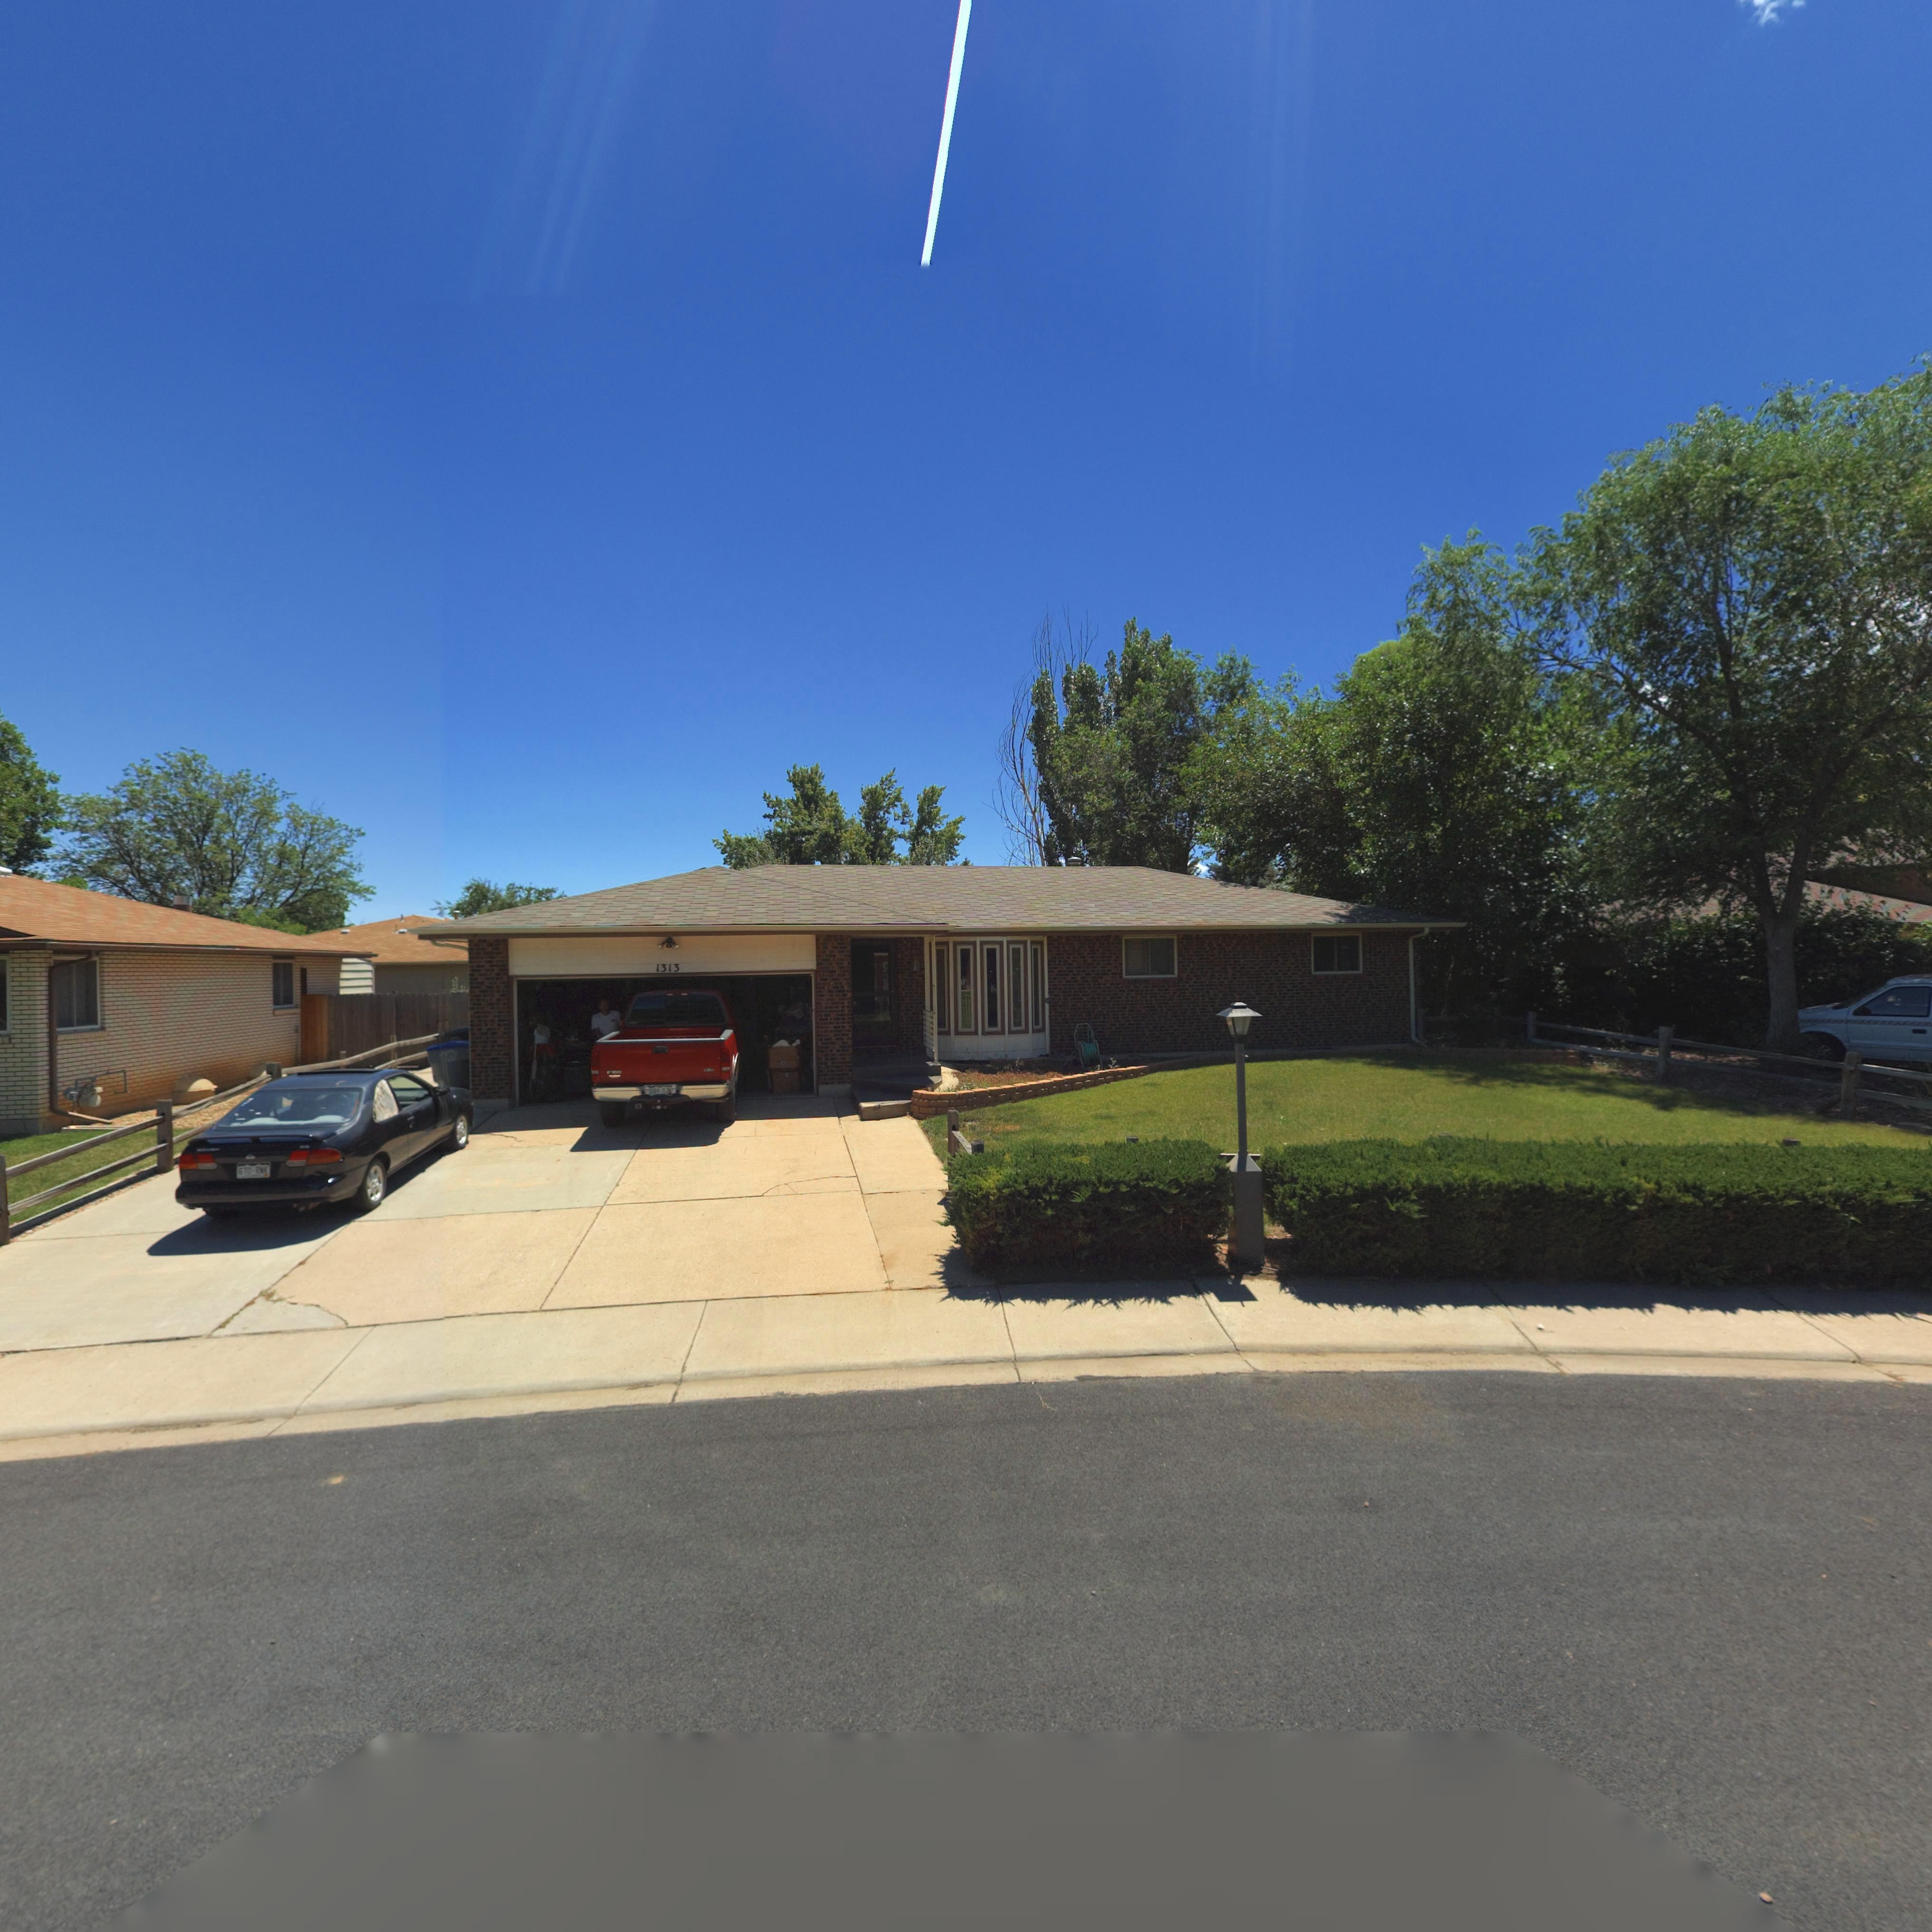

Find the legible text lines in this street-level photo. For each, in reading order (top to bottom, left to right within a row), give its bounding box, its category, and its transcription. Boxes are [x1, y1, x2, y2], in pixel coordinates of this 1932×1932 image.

[656, 963, 679, 972] StreetNumber: 1313